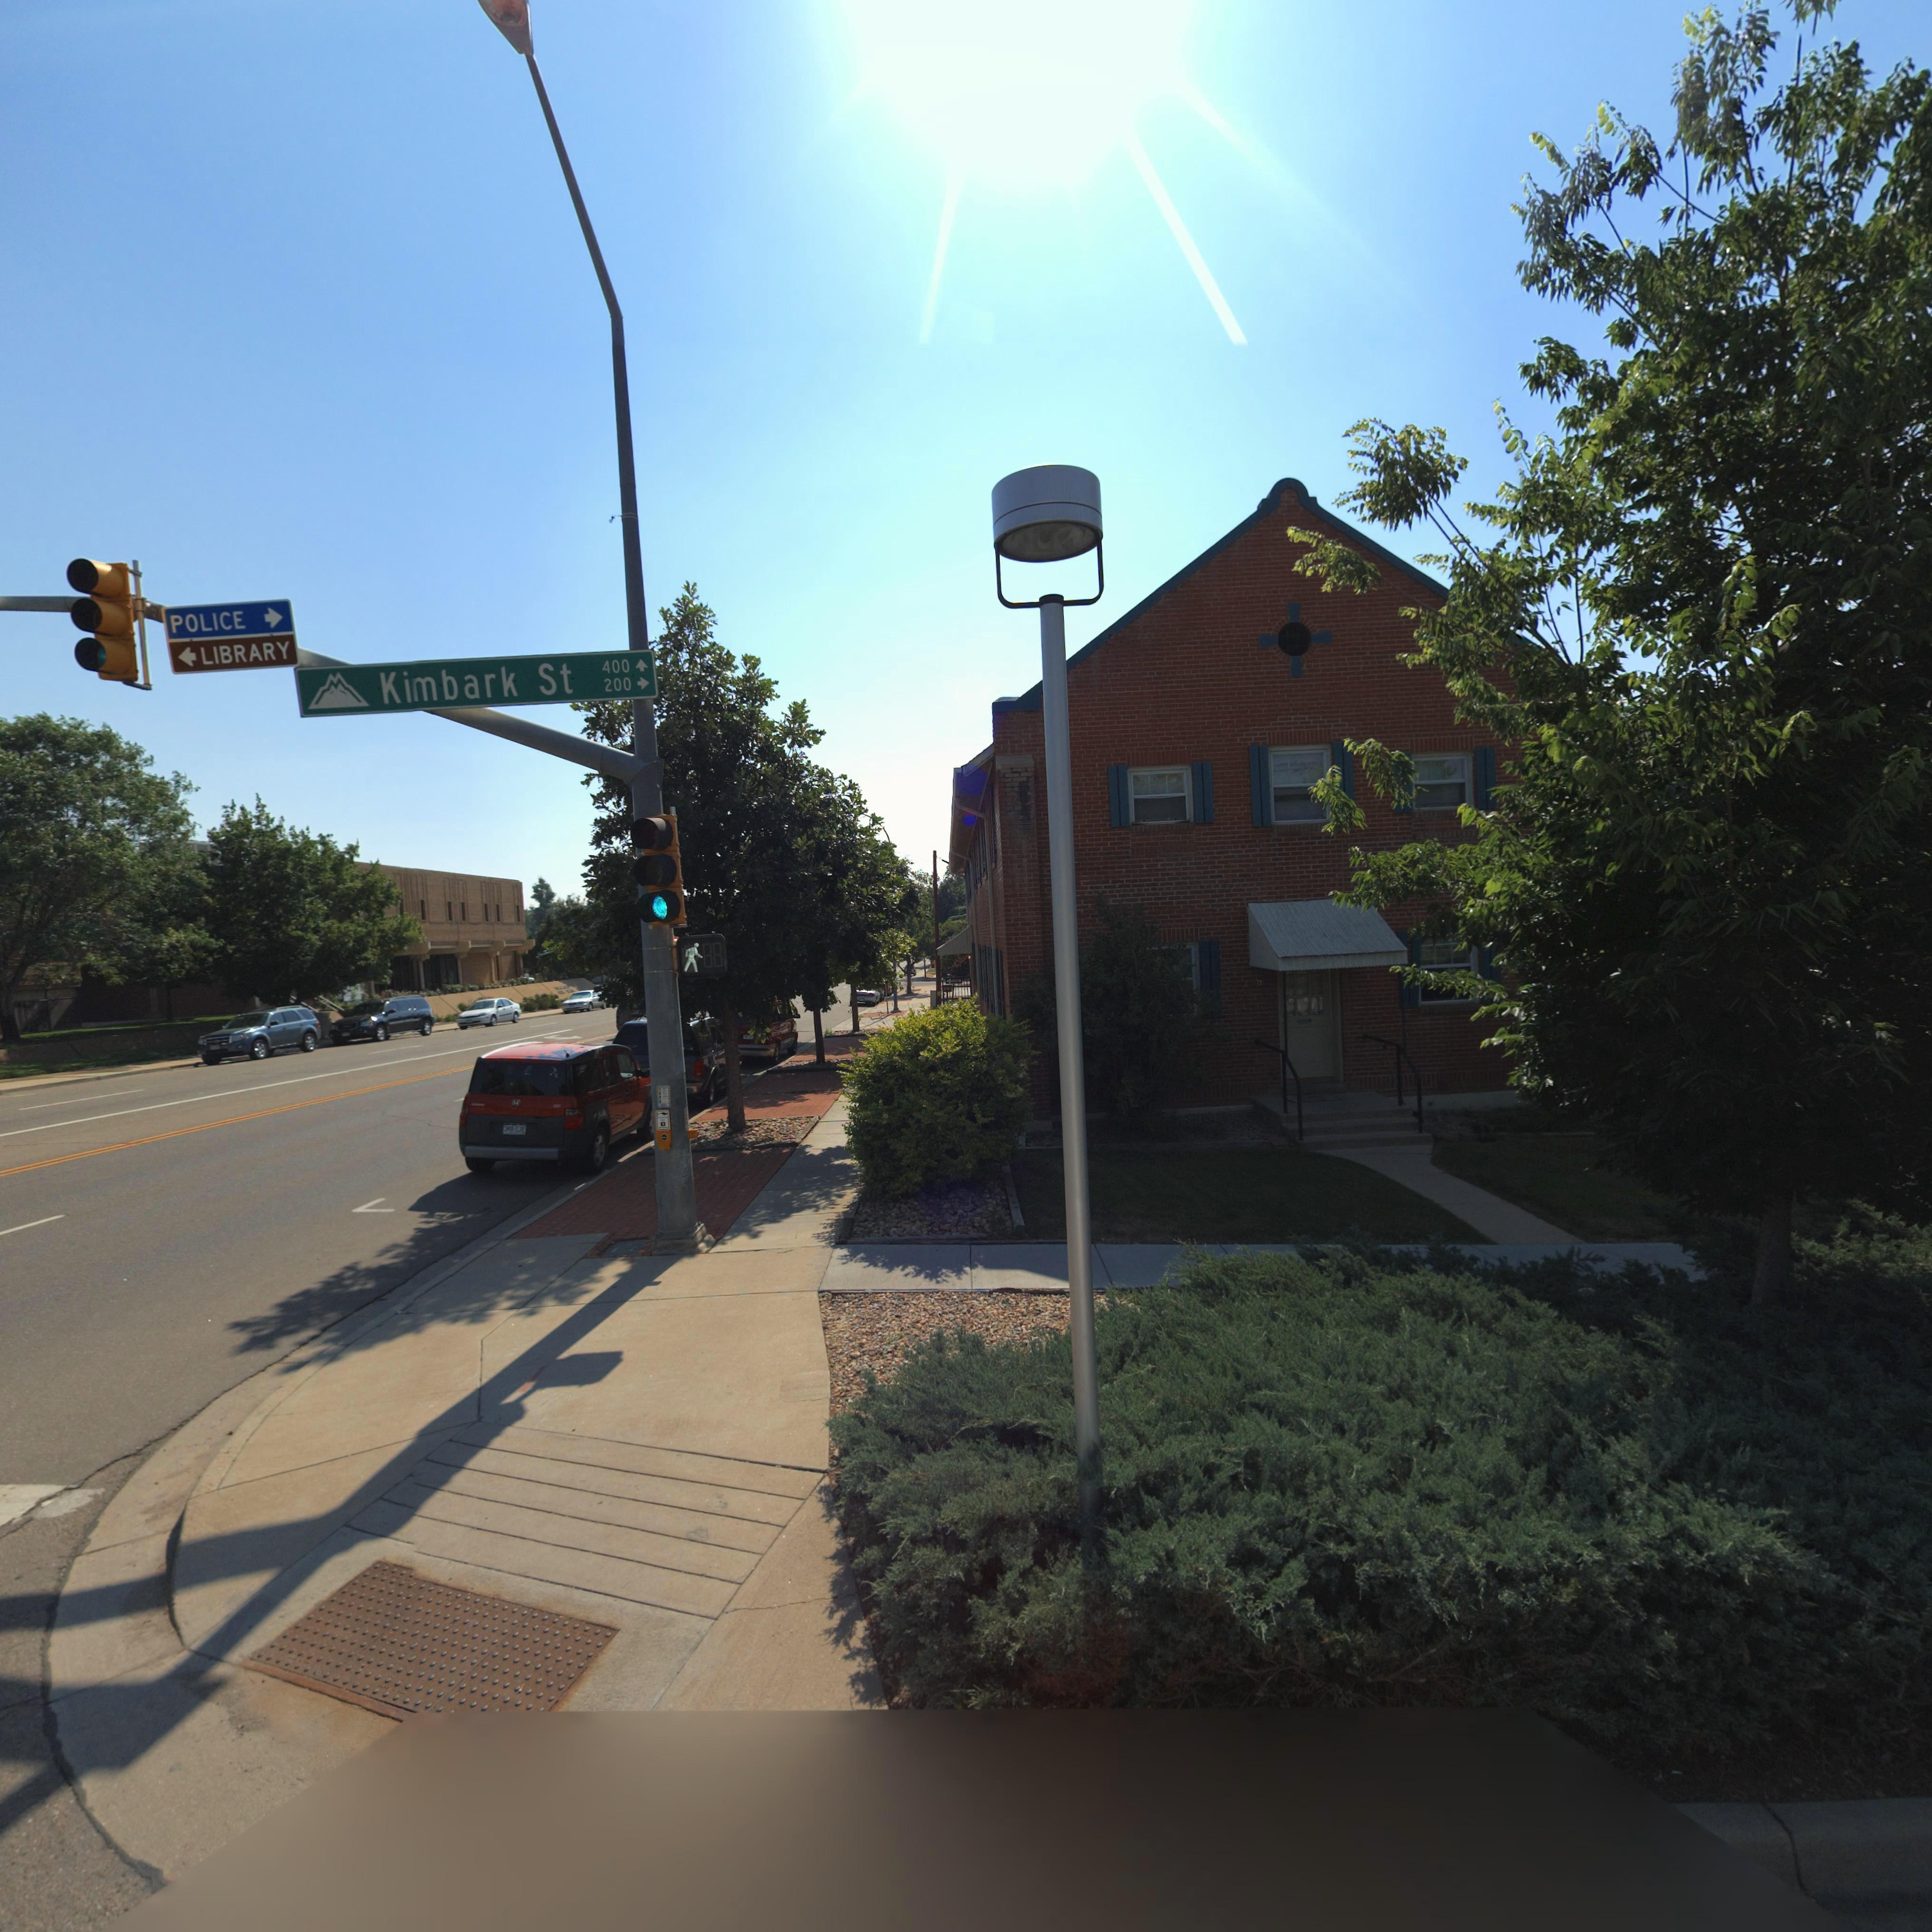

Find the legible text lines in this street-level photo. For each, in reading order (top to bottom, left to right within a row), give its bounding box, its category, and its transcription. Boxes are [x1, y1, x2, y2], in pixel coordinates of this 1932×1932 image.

[602, 658, 629, 674] StreetNumberRange: 400
[378, 662, 573, 705] StreetName: Kimbark St
[603, 676, 650, 692] StreetNumberRange: 200 ->
[1243, 979, 1262, 987] StreetNumber: 2*0